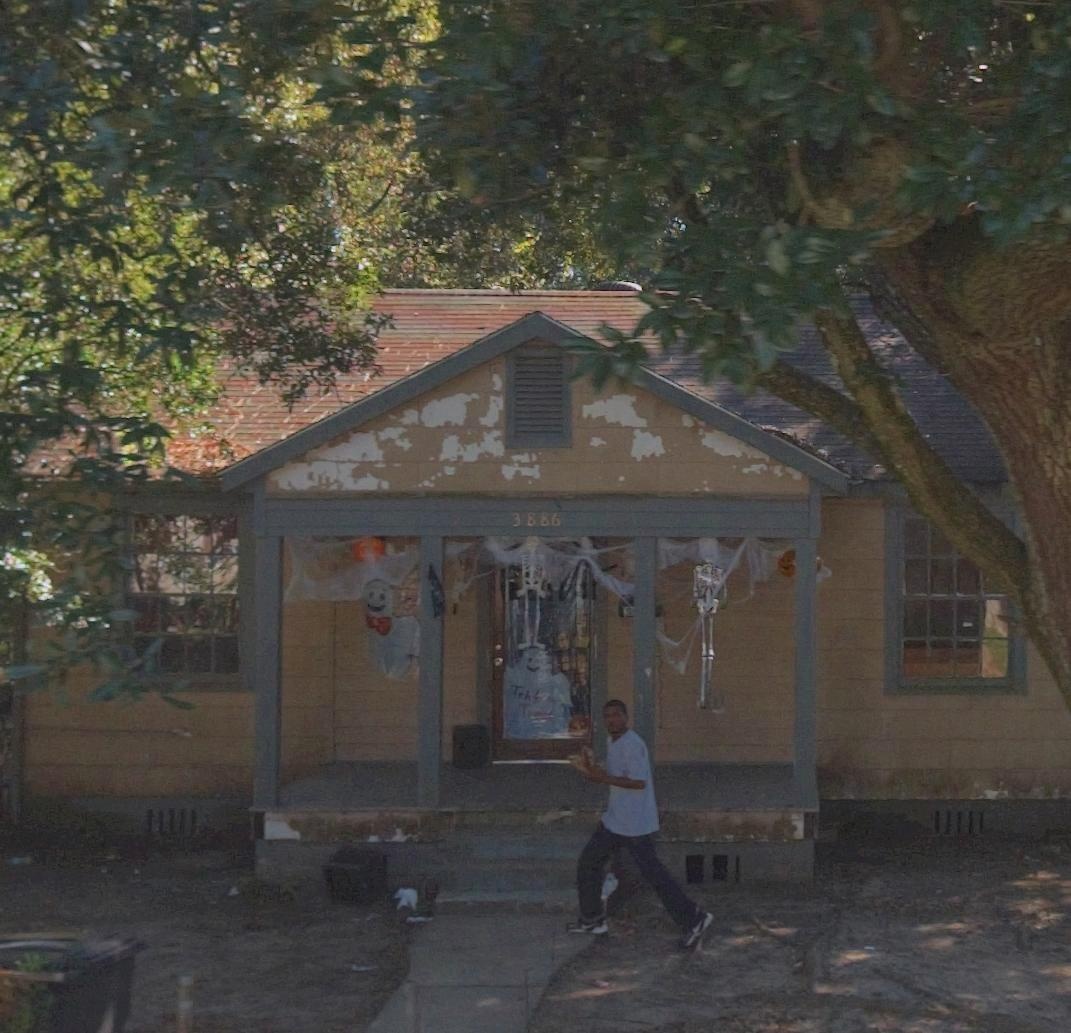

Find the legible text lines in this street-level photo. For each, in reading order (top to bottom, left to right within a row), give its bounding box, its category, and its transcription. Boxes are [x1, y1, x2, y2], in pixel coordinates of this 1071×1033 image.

[508, 509, 564, 529] StreetNumber: 3886
[506, 680, 534, 707] None: T*k
[516, 702, 559, 727] None: T***t